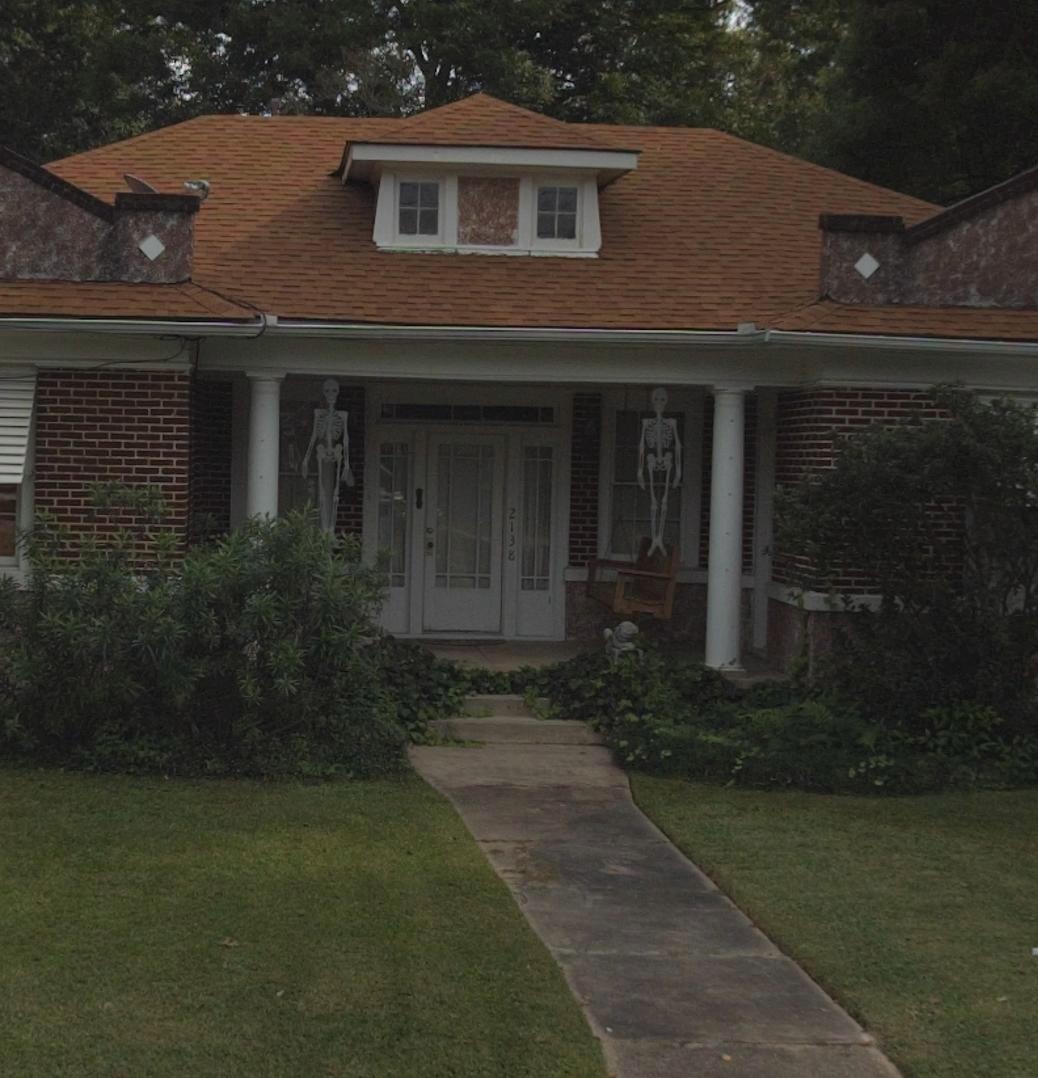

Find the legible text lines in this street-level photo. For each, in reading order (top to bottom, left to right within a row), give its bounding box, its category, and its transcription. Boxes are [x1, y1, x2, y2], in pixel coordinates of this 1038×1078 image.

[506, 504, 518, 564] StreetNumber: 2138